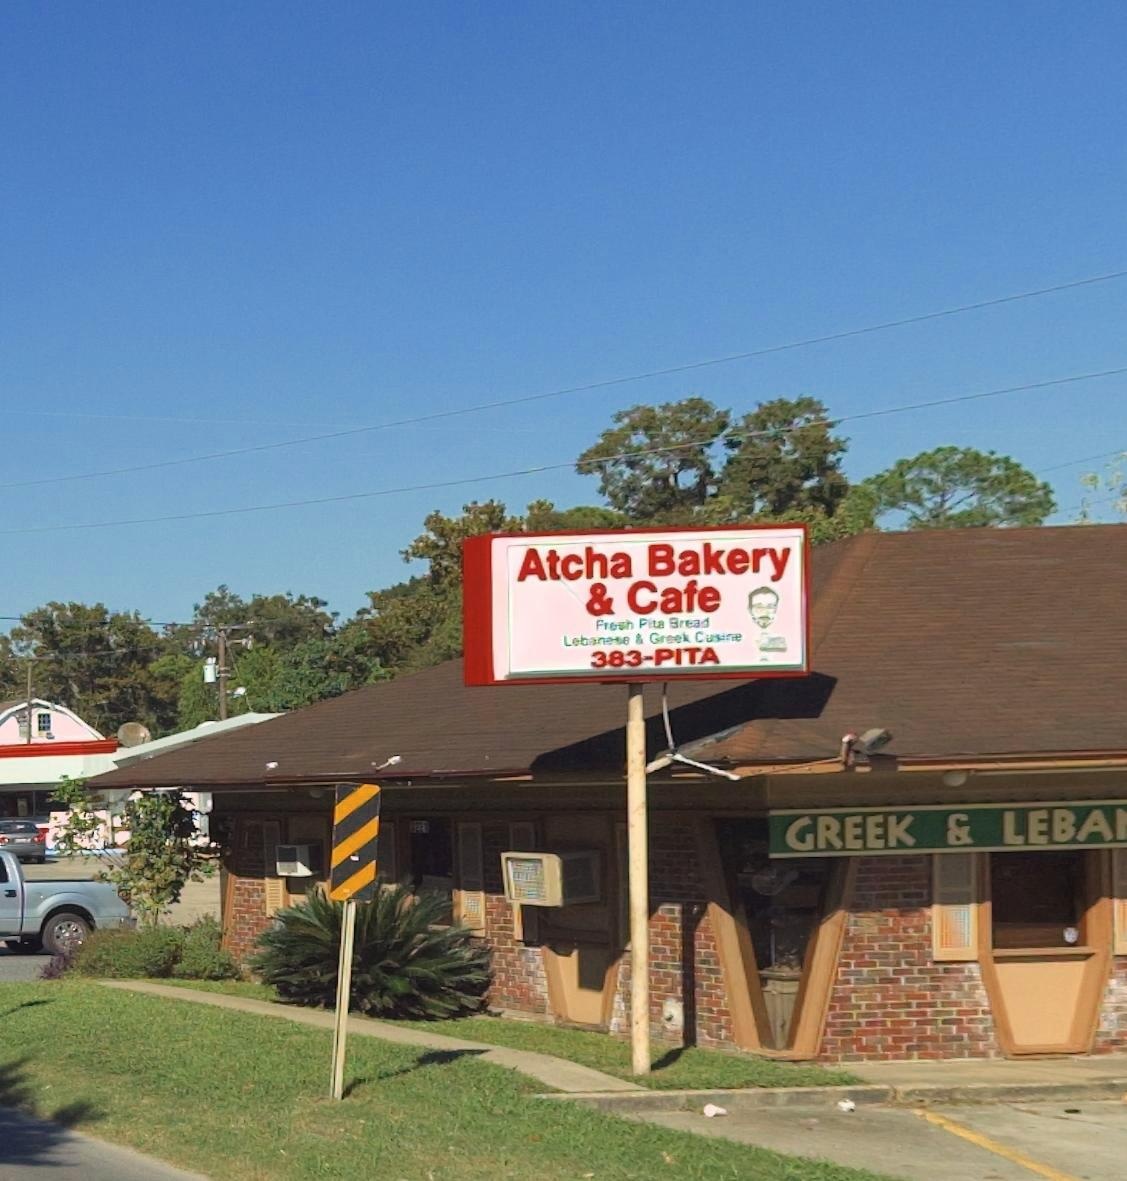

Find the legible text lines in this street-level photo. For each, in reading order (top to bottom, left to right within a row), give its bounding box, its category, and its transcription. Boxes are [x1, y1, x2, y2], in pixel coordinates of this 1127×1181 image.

[516, 541, 793, 583] BusinessName: Atcha Bakery
[585, 579, 724, 617] BusinessName: & Cafe
[594, 617, 712, 631] None: Fresh Pita Bread
[562, 630, 744, 648] None: Lebanese & Greek Cuisine
[589, 646, 722, 669] None: 383-PITA
[783, 808, 1115, 852] None: GREEK & LEBA